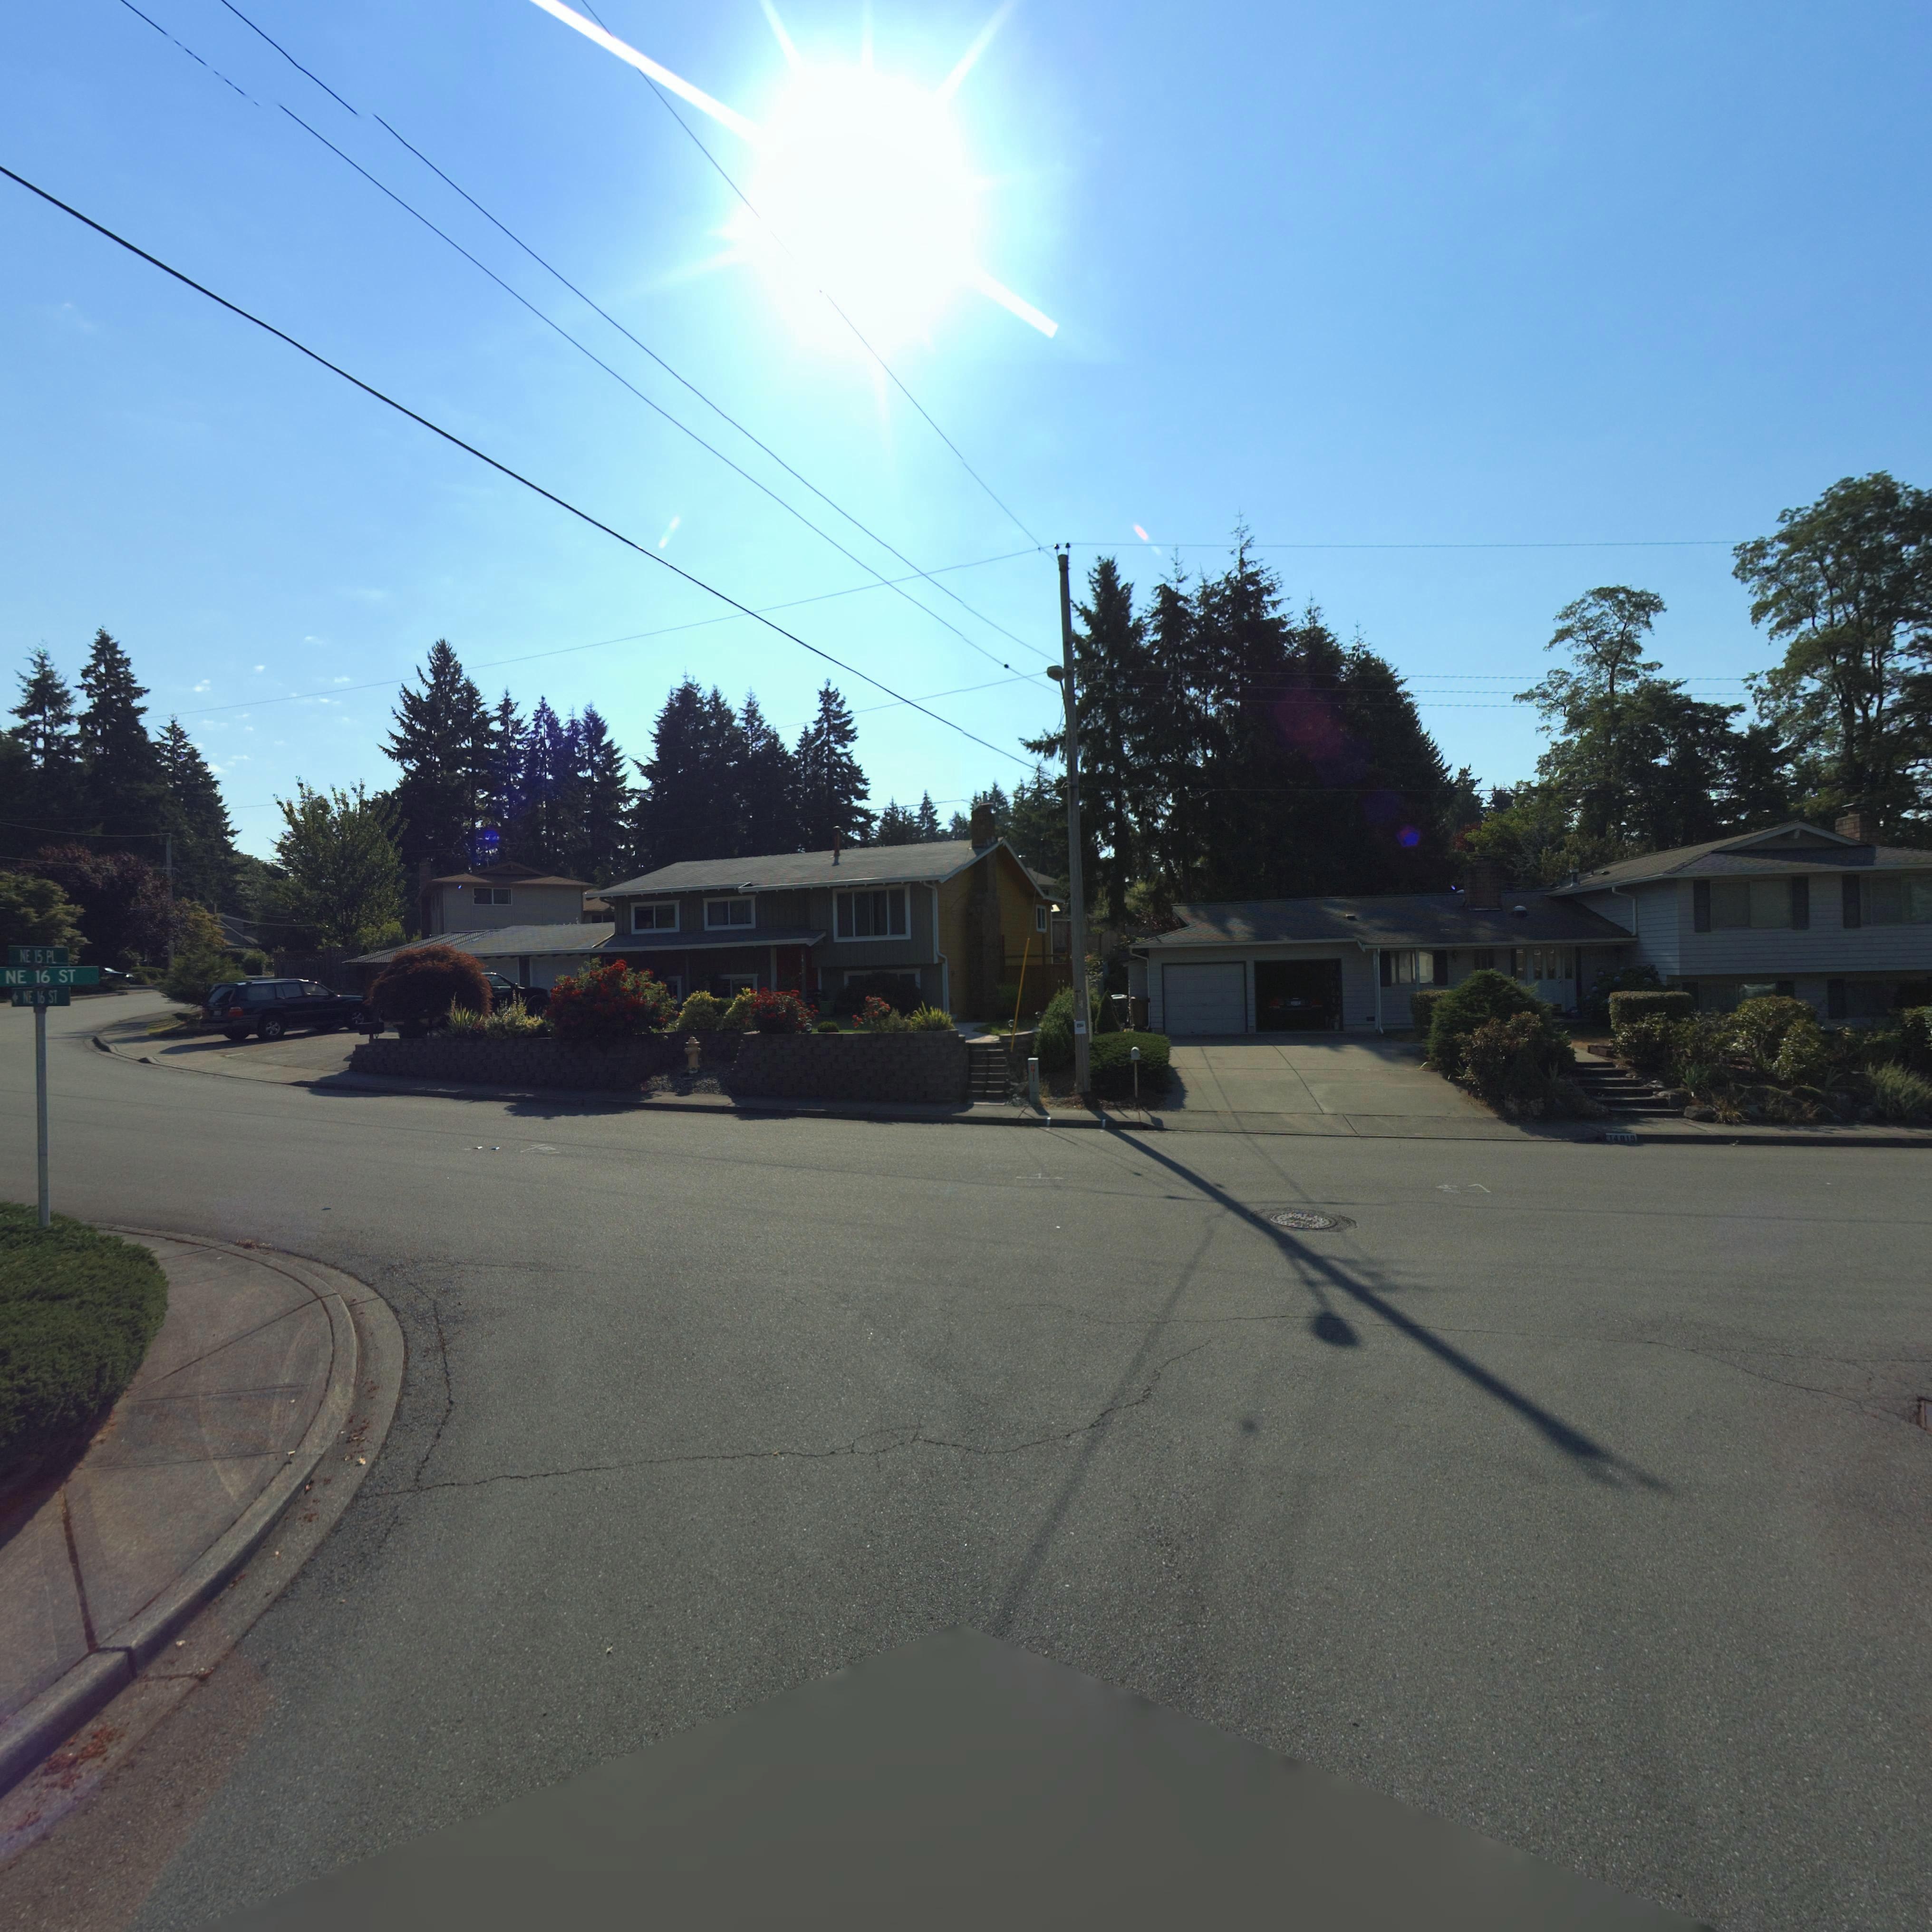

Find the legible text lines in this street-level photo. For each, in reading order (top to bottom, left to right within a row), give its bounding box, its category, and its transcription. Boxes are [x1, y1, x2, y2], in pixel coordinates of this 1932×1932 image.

[20, 950, 56, 962] StreetName: NE 15 PL
[6, 969, 75, 985] StreetName: NE 16 ST
[1608, 1135, 1636, 1142] StreetNumber: *819